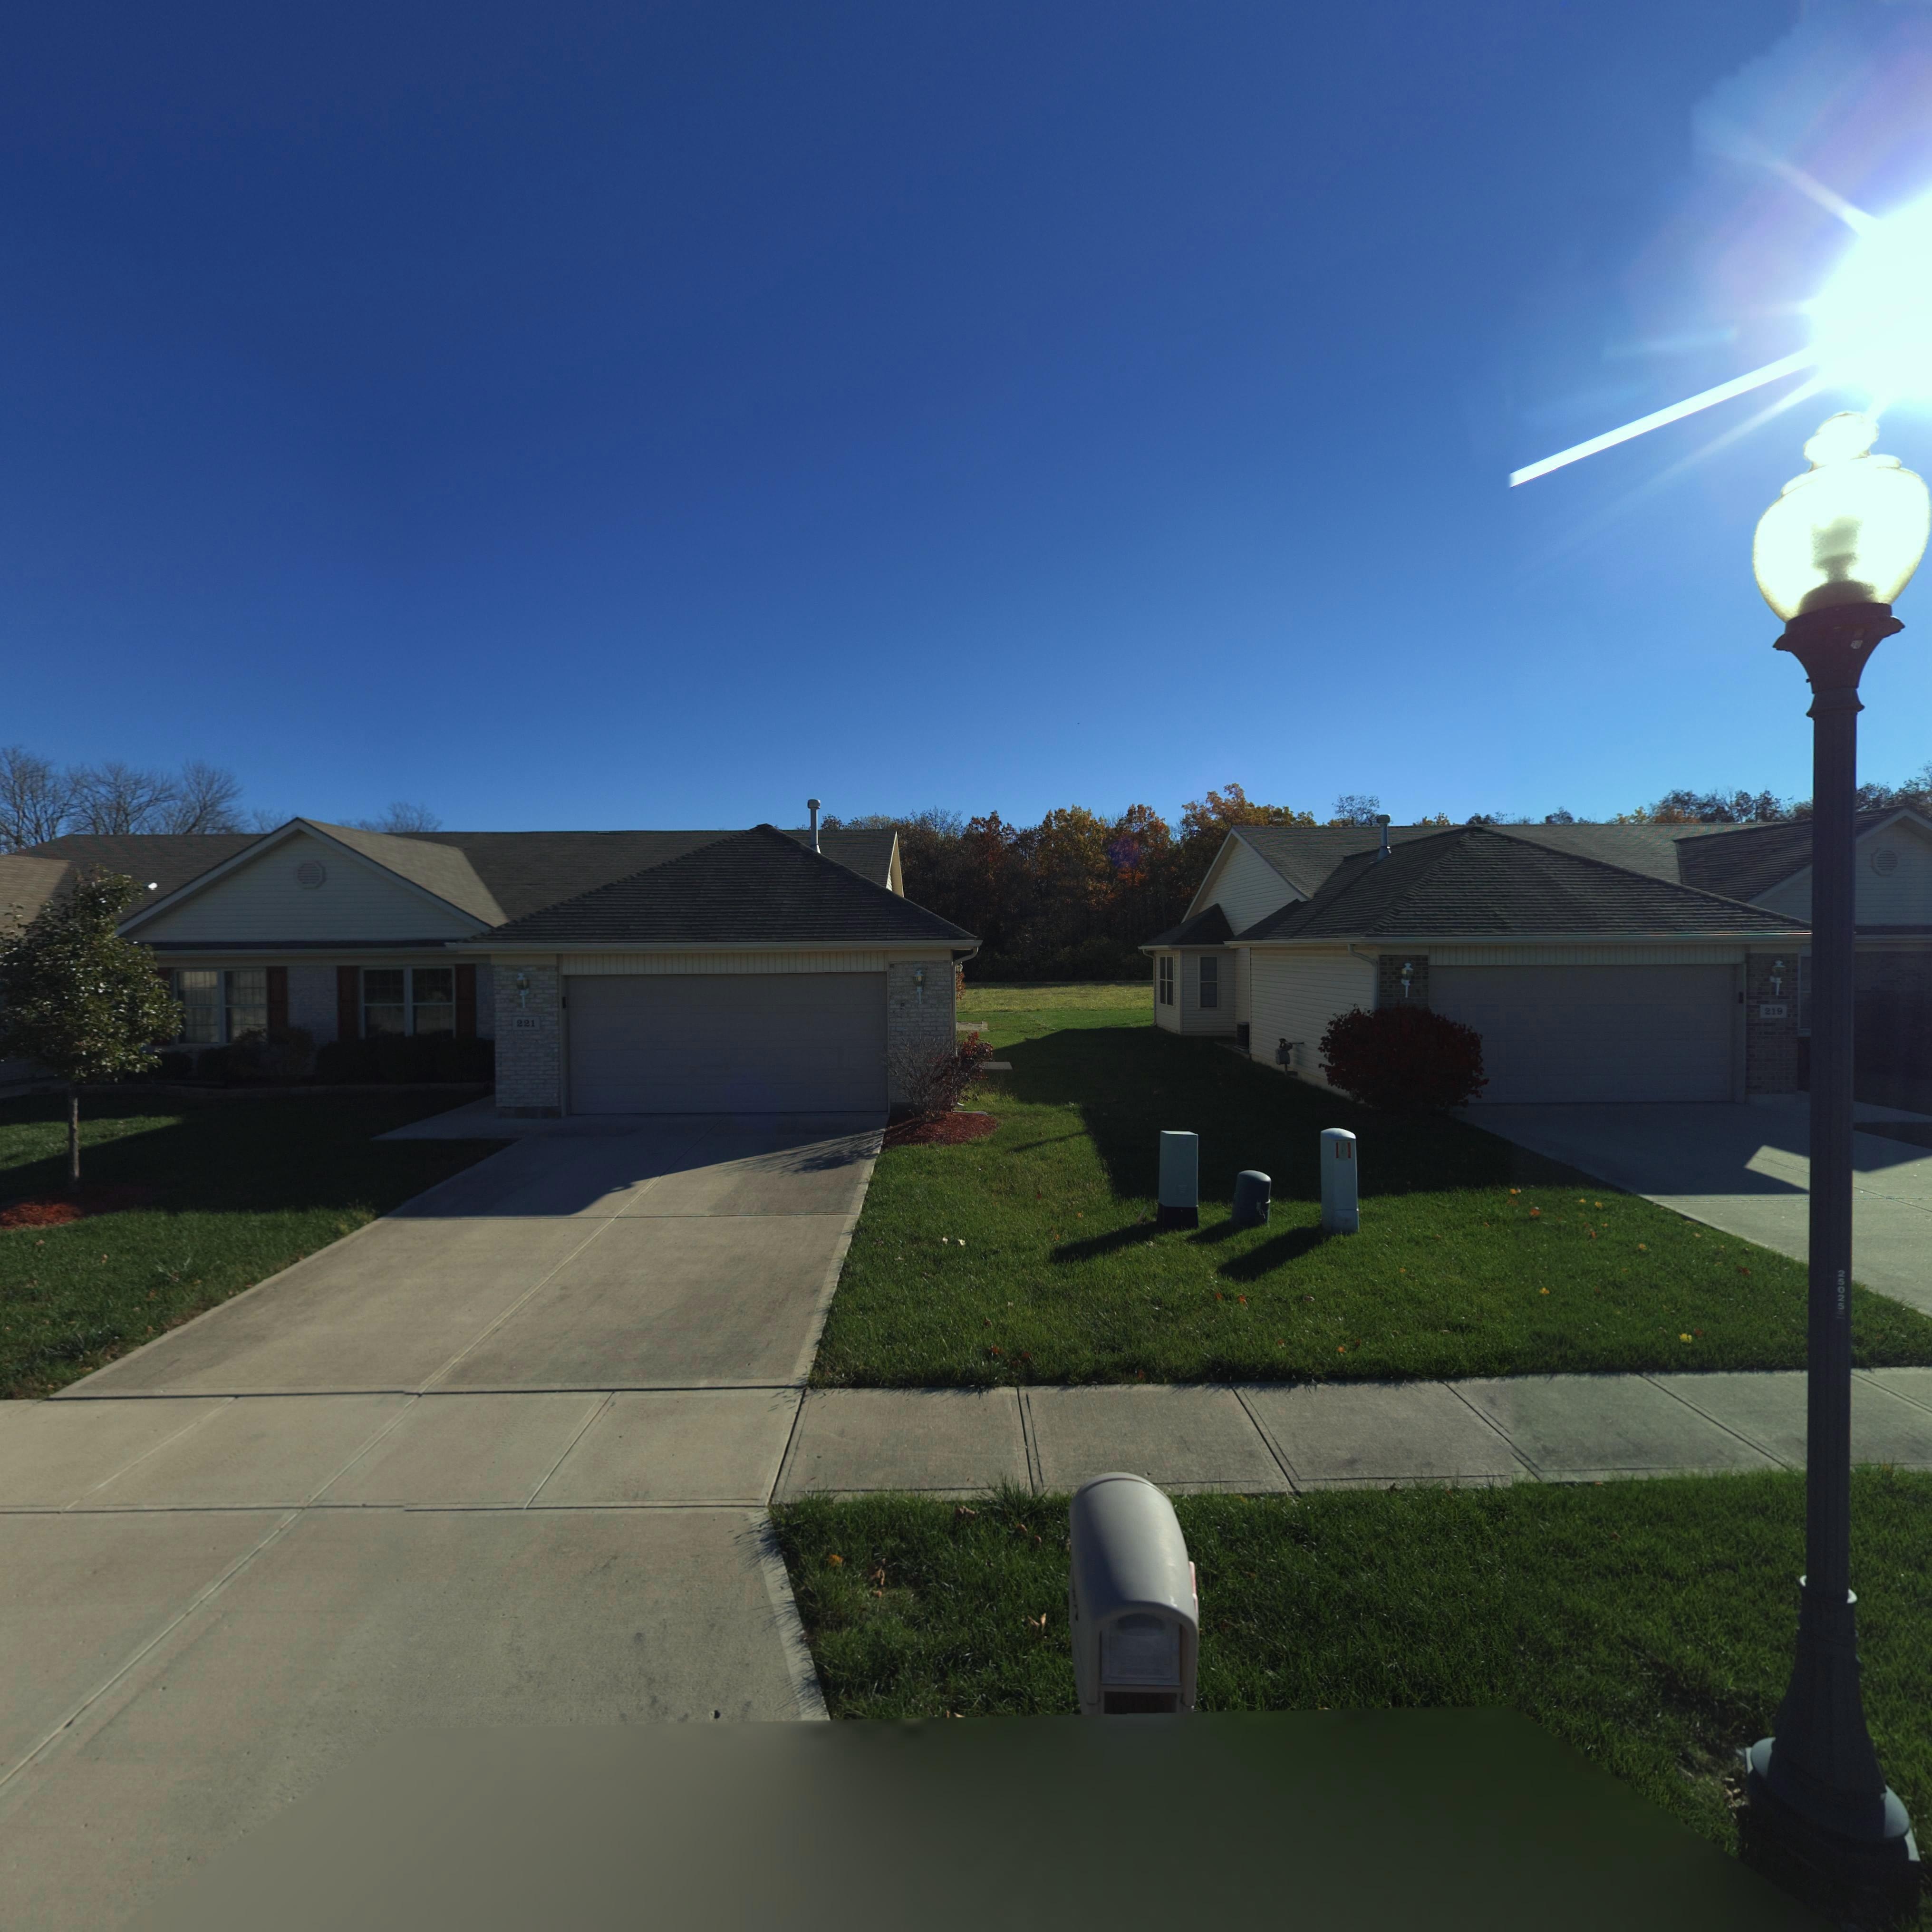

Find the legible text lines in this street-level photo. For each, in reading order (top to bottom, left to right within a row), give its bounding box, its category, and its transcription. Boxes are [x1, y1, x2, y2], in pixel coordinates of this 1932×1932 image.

[1764, 1006, 1783, 1015] StreetNumber: 219
[516, 1018, 536, 1028] StreetNumber: 221